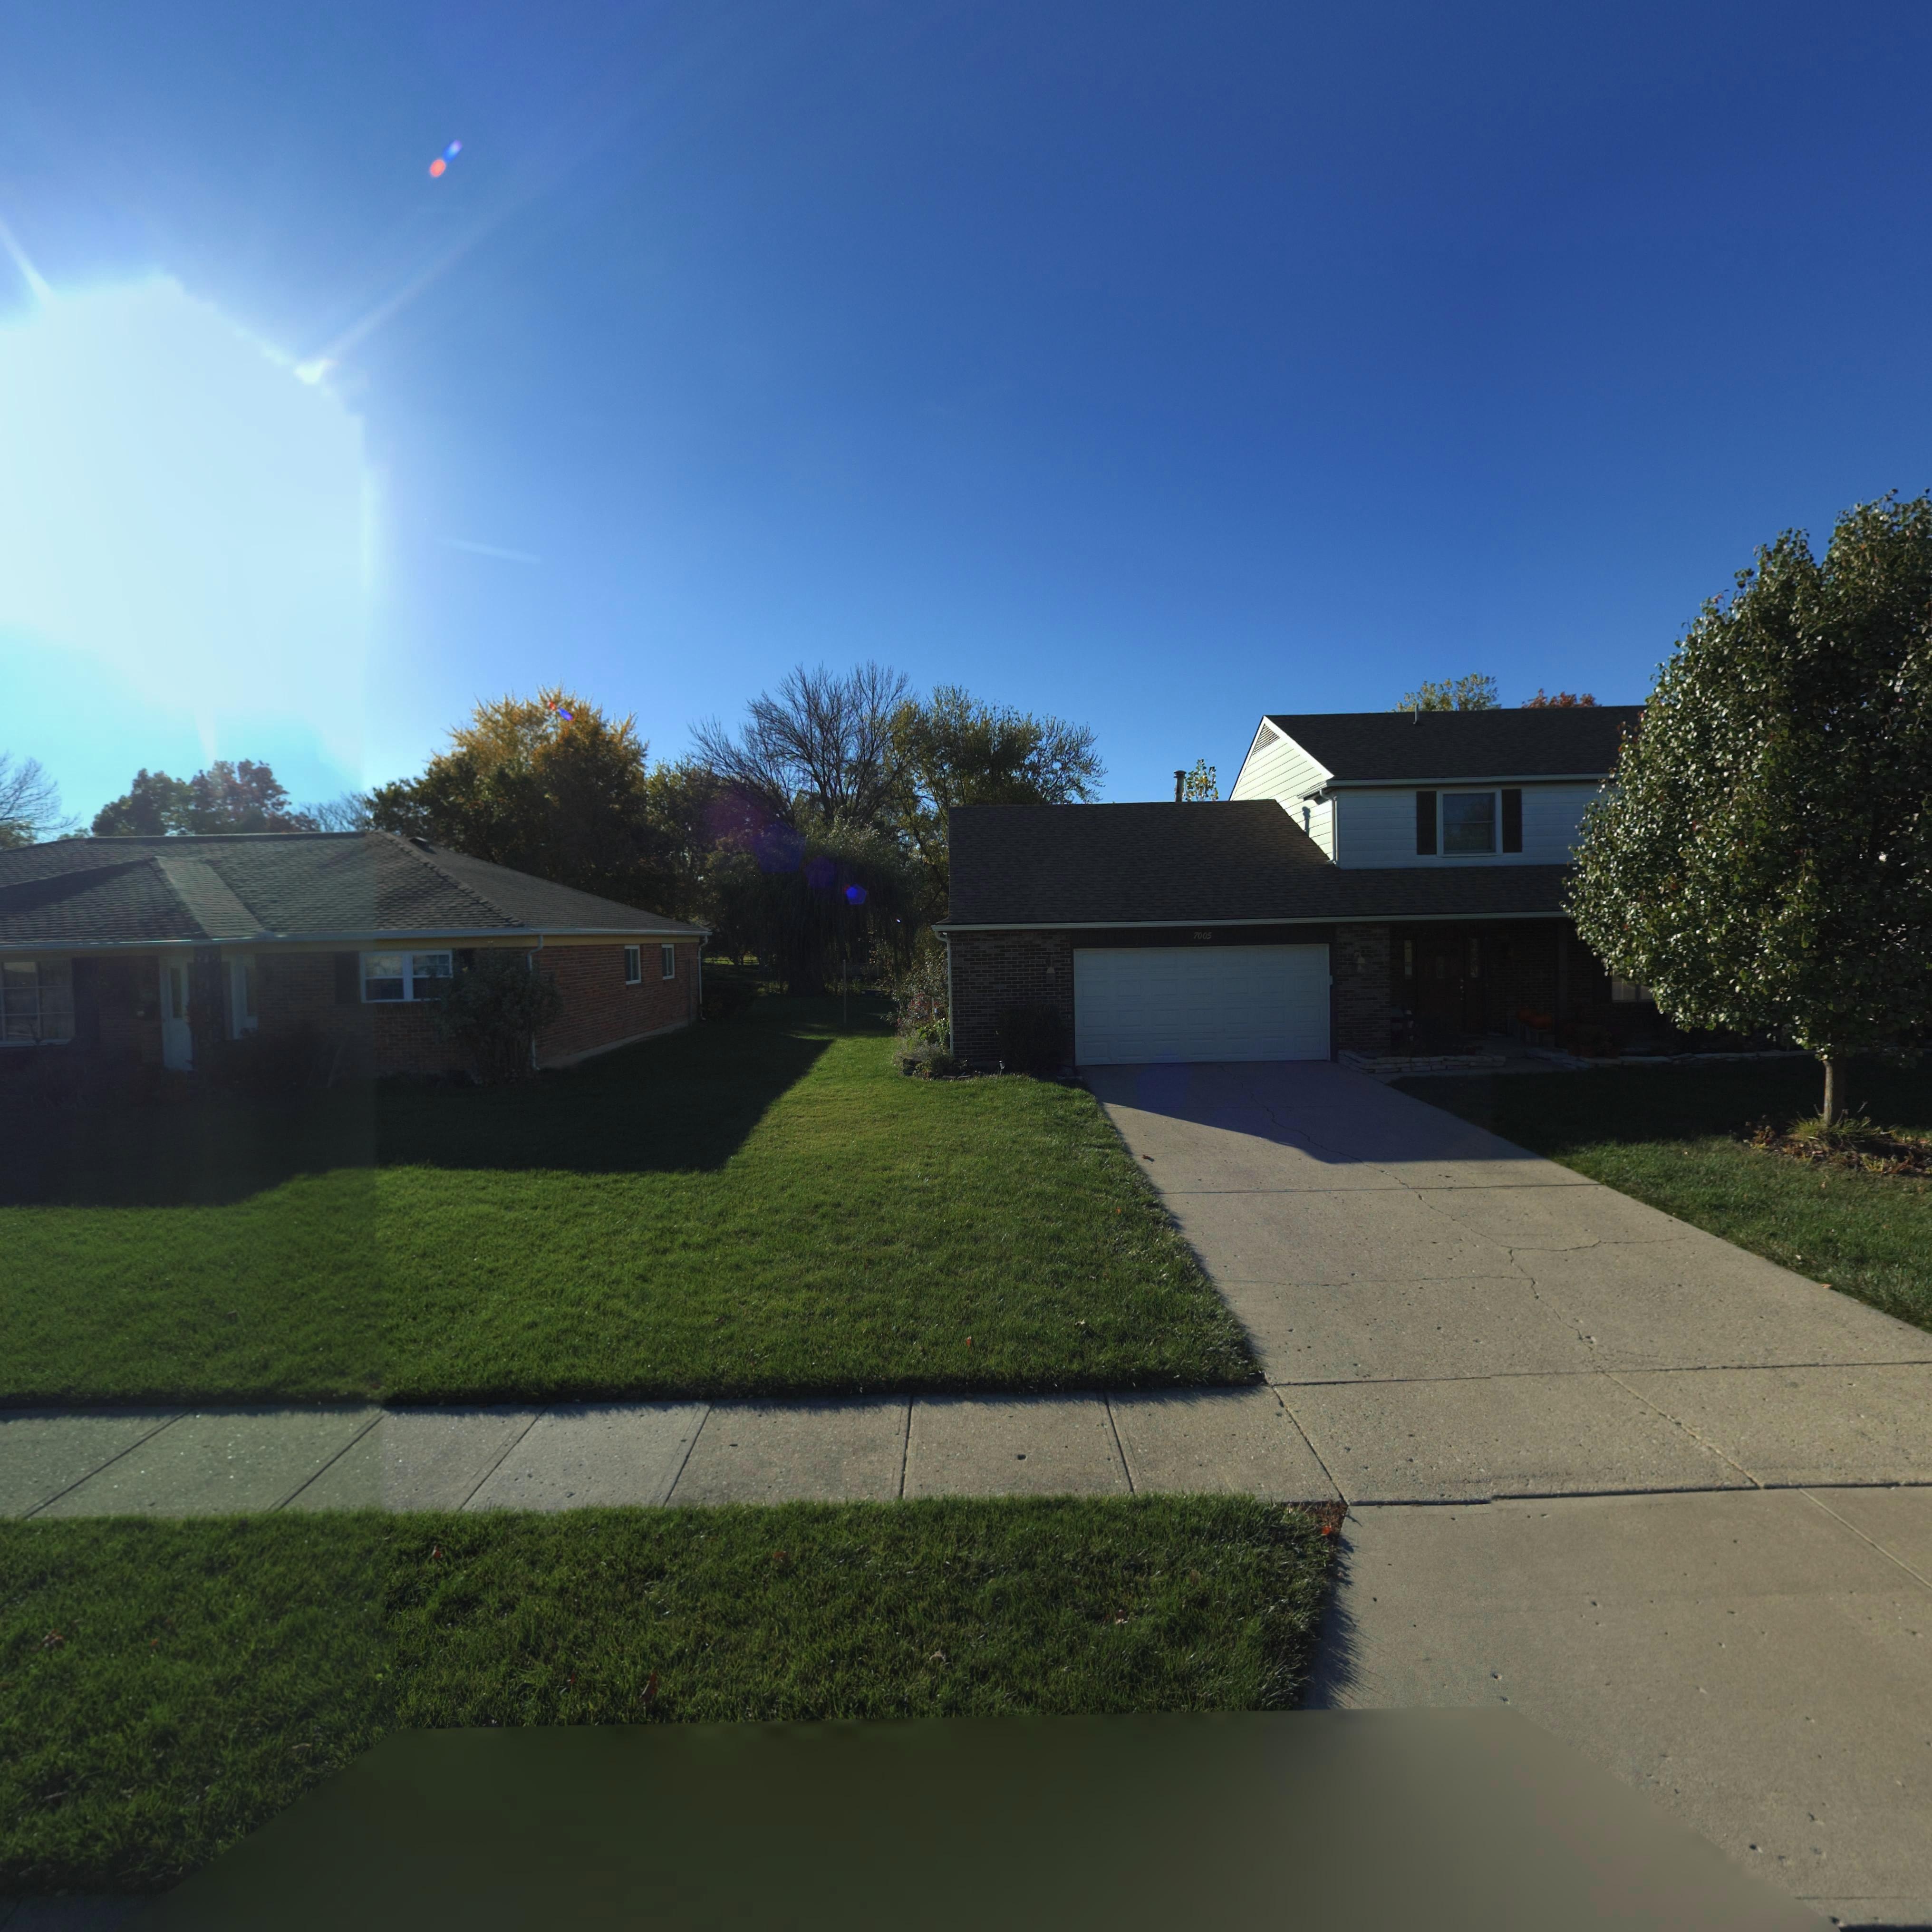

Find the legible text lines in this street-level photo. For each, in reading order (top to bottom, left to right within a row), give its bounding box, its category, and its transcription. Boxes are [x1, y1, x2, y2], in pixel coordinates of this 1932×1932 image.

[1193, 931, 1212, 939] StreetNumber: 7005